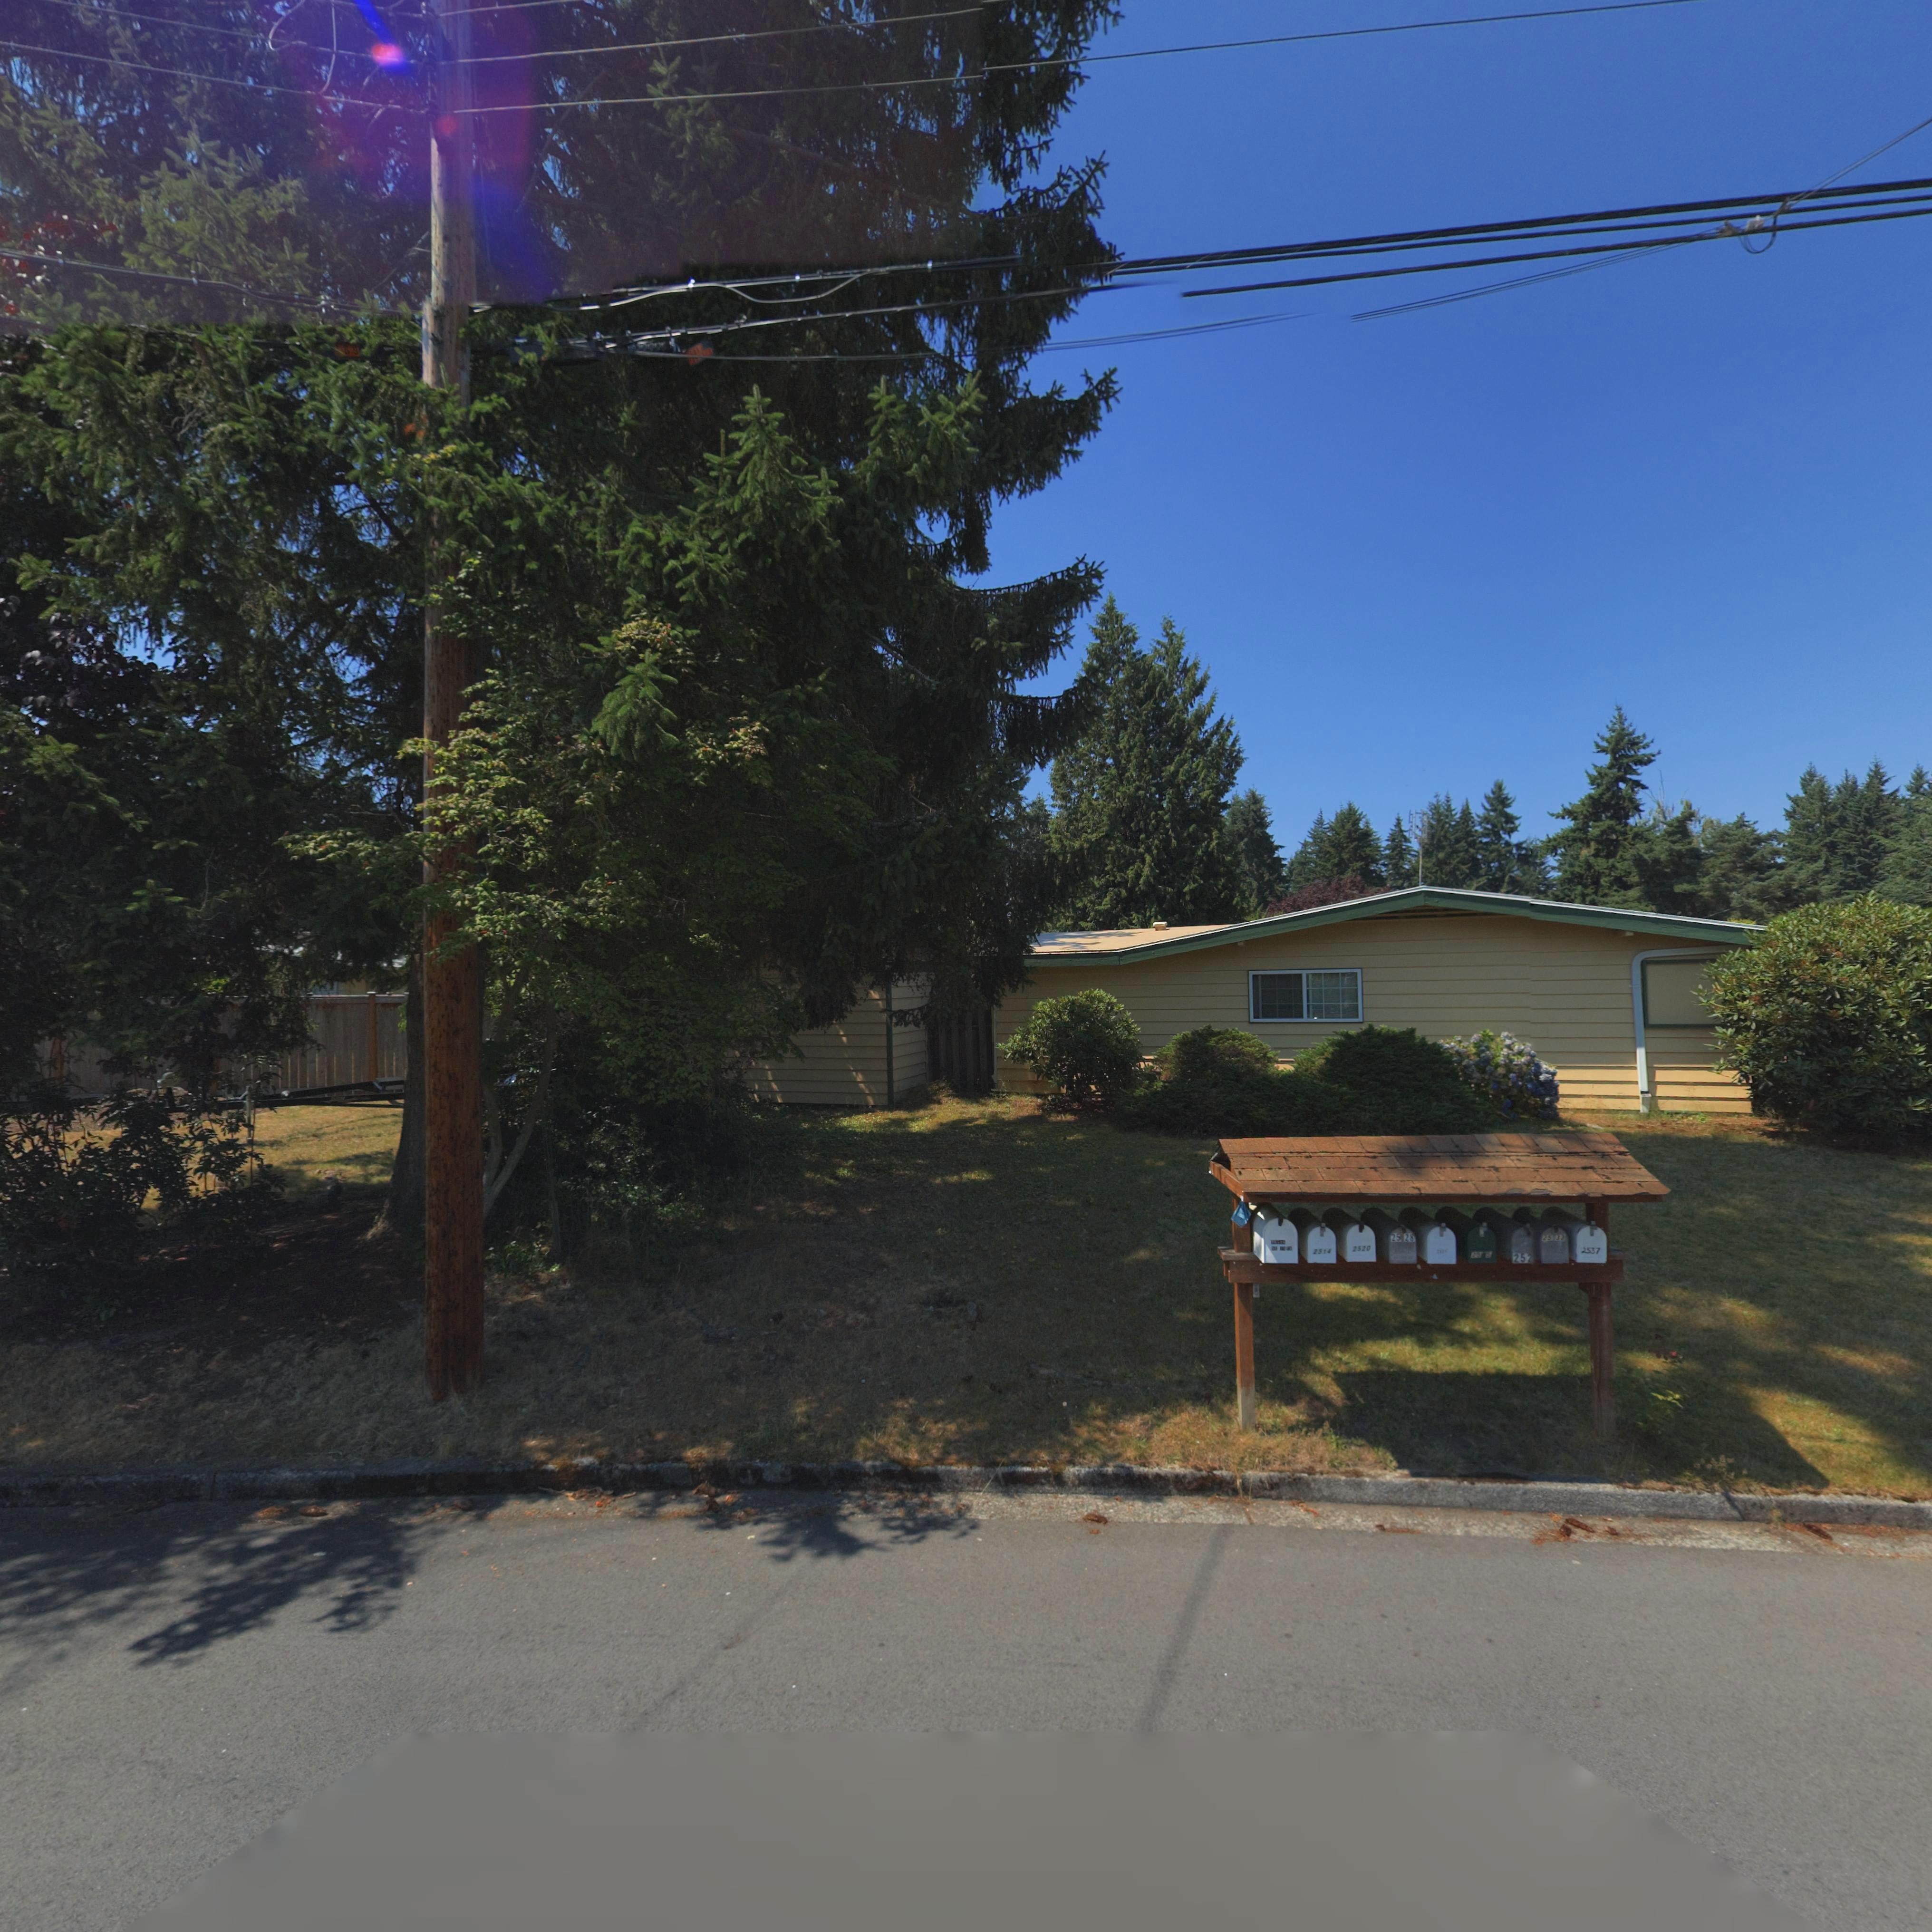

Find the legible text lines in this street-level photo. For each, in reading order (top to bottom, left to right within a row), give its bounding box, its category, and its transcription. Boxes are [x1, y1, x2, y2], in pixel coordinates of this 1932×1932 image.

[1391, 1233, 1414, 1242] StreetNumber: 25 28
[1542, 1233, 1564, 1241] StreetNumber: 25 33
[1313, 1248, 1332, 1255] StreetNumber: 2514
[1352, 1245, 1371, 1252] StreetNumber: 2520
[1580, 1246, 1601, 1255] StreetNumber: 2537
[1512, 1253, 1532, 1263] StreetNumber: 252